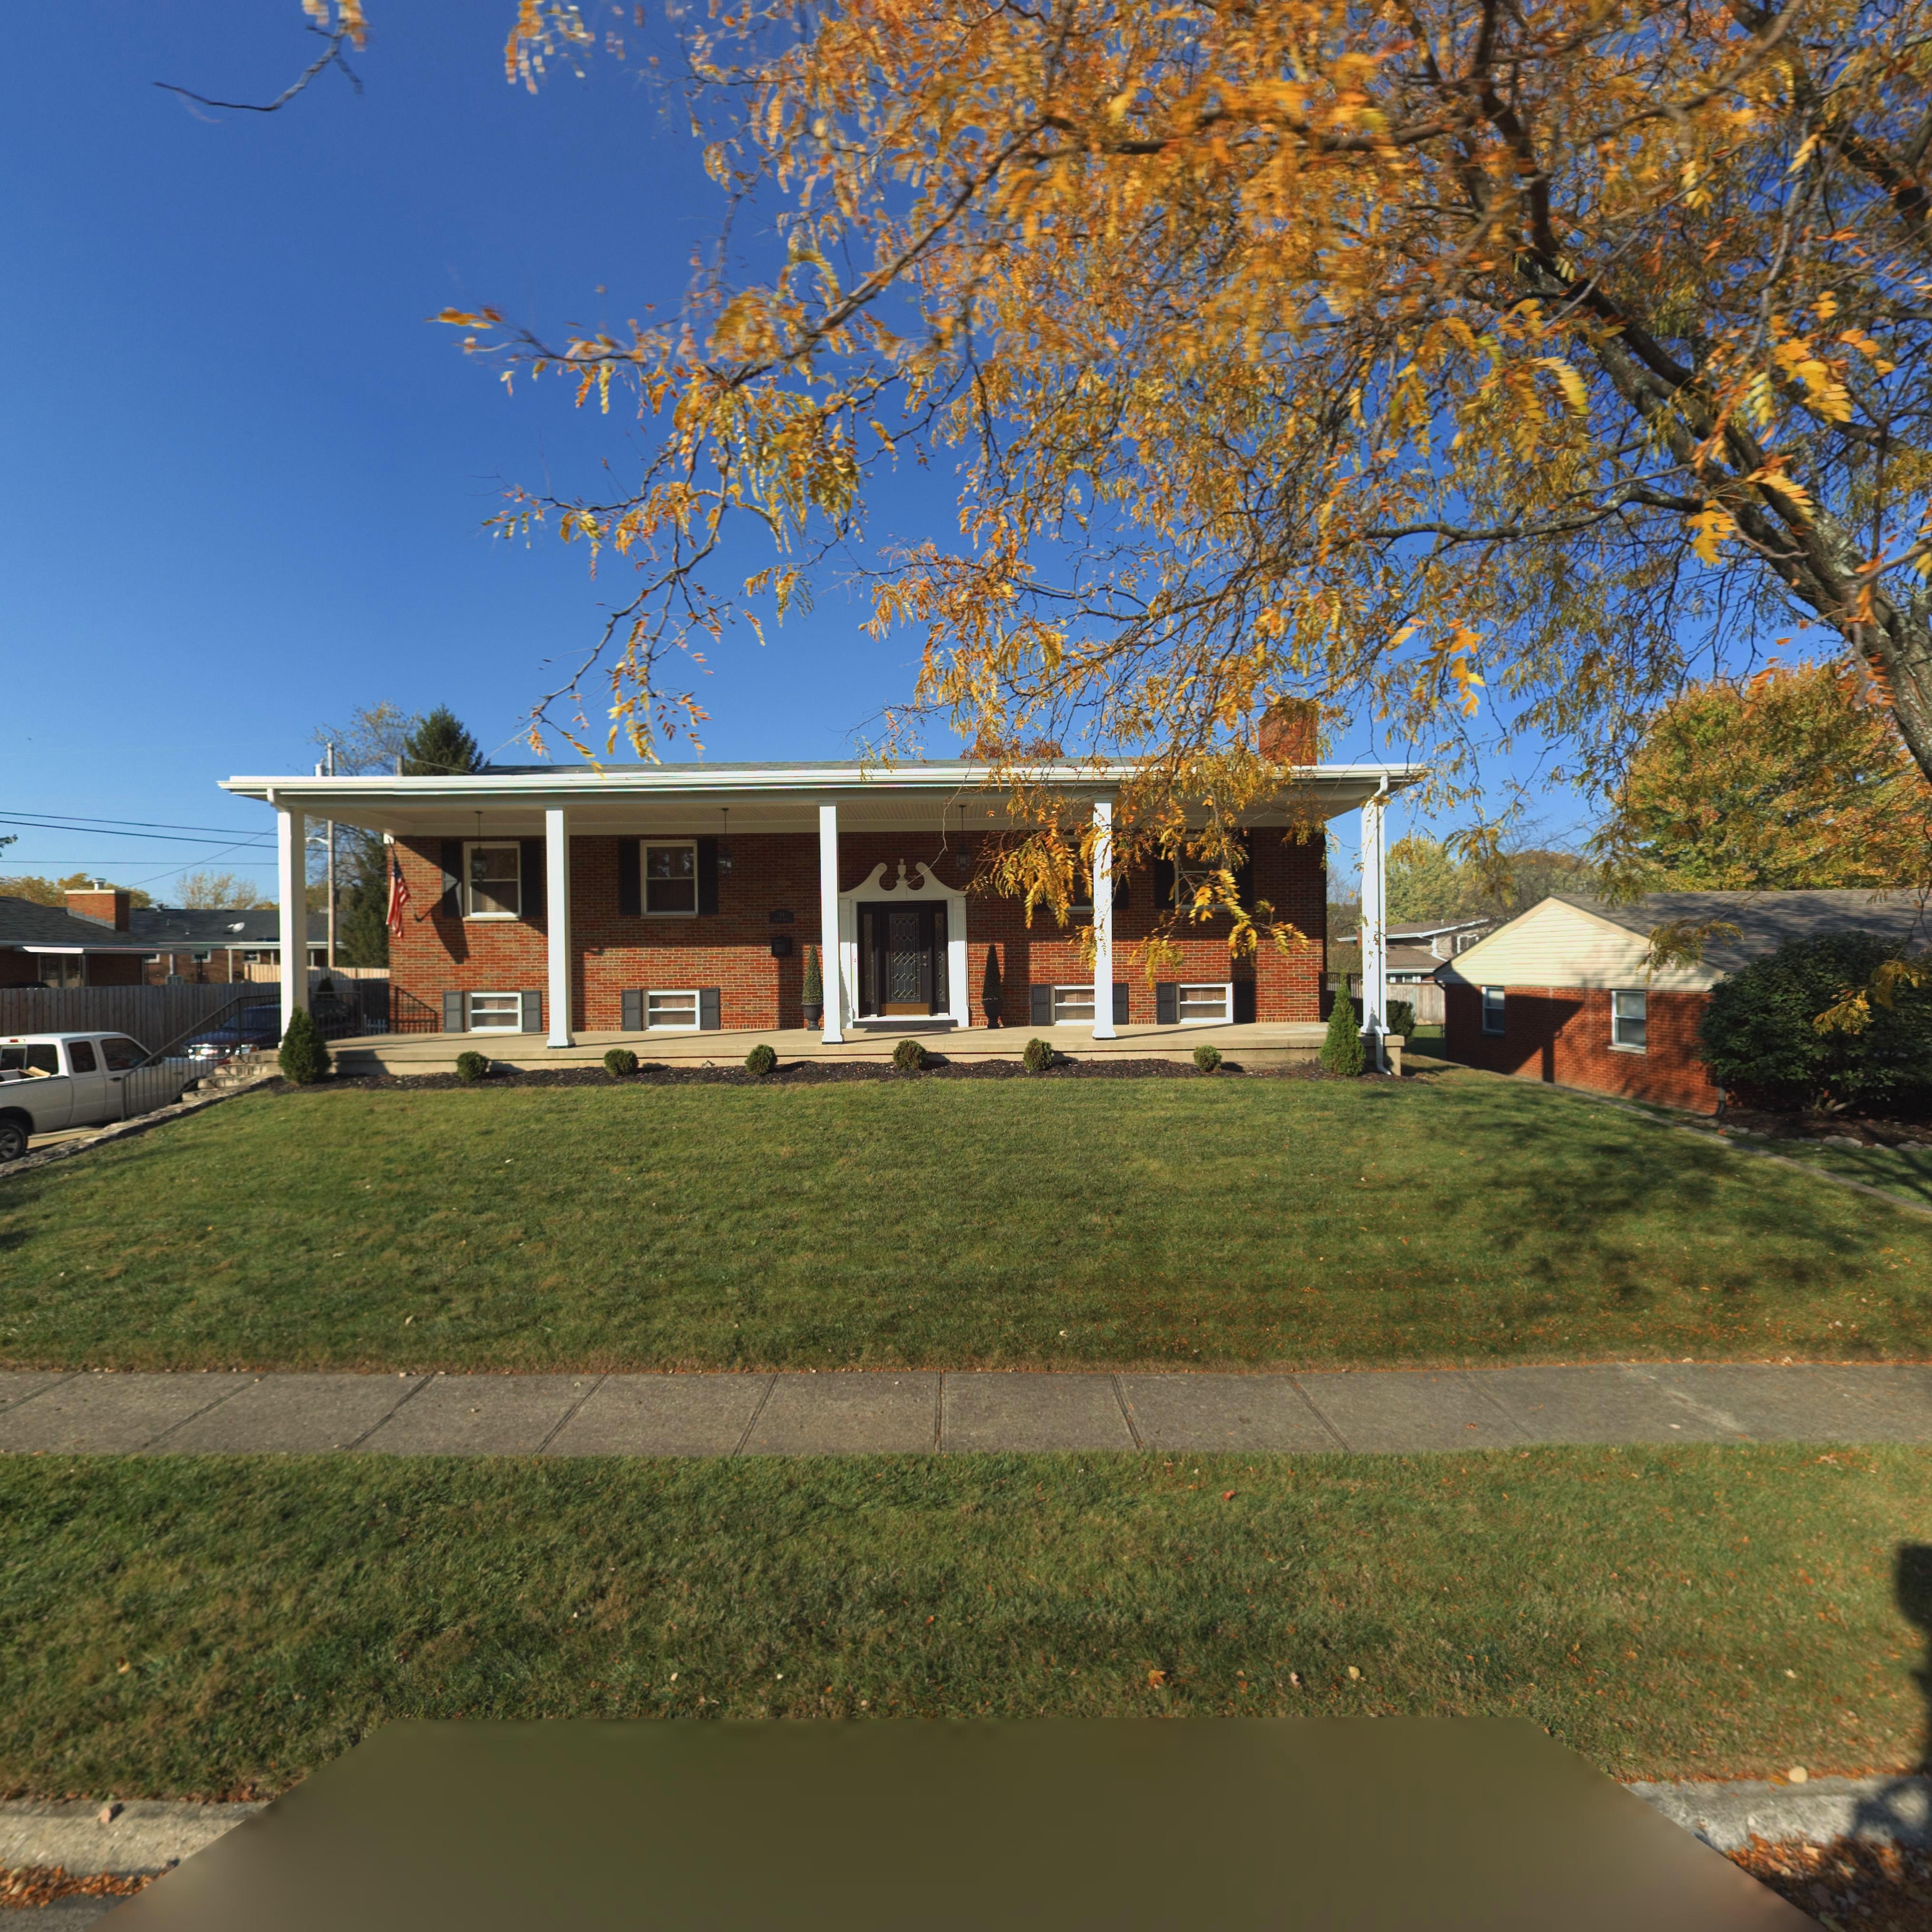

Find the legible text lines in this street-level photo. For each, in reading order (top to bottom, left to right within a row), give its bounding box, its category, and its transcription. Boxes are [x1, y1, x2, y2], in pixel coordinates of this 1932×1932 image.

[777, 911, 785, 918] StreetNumber: 763